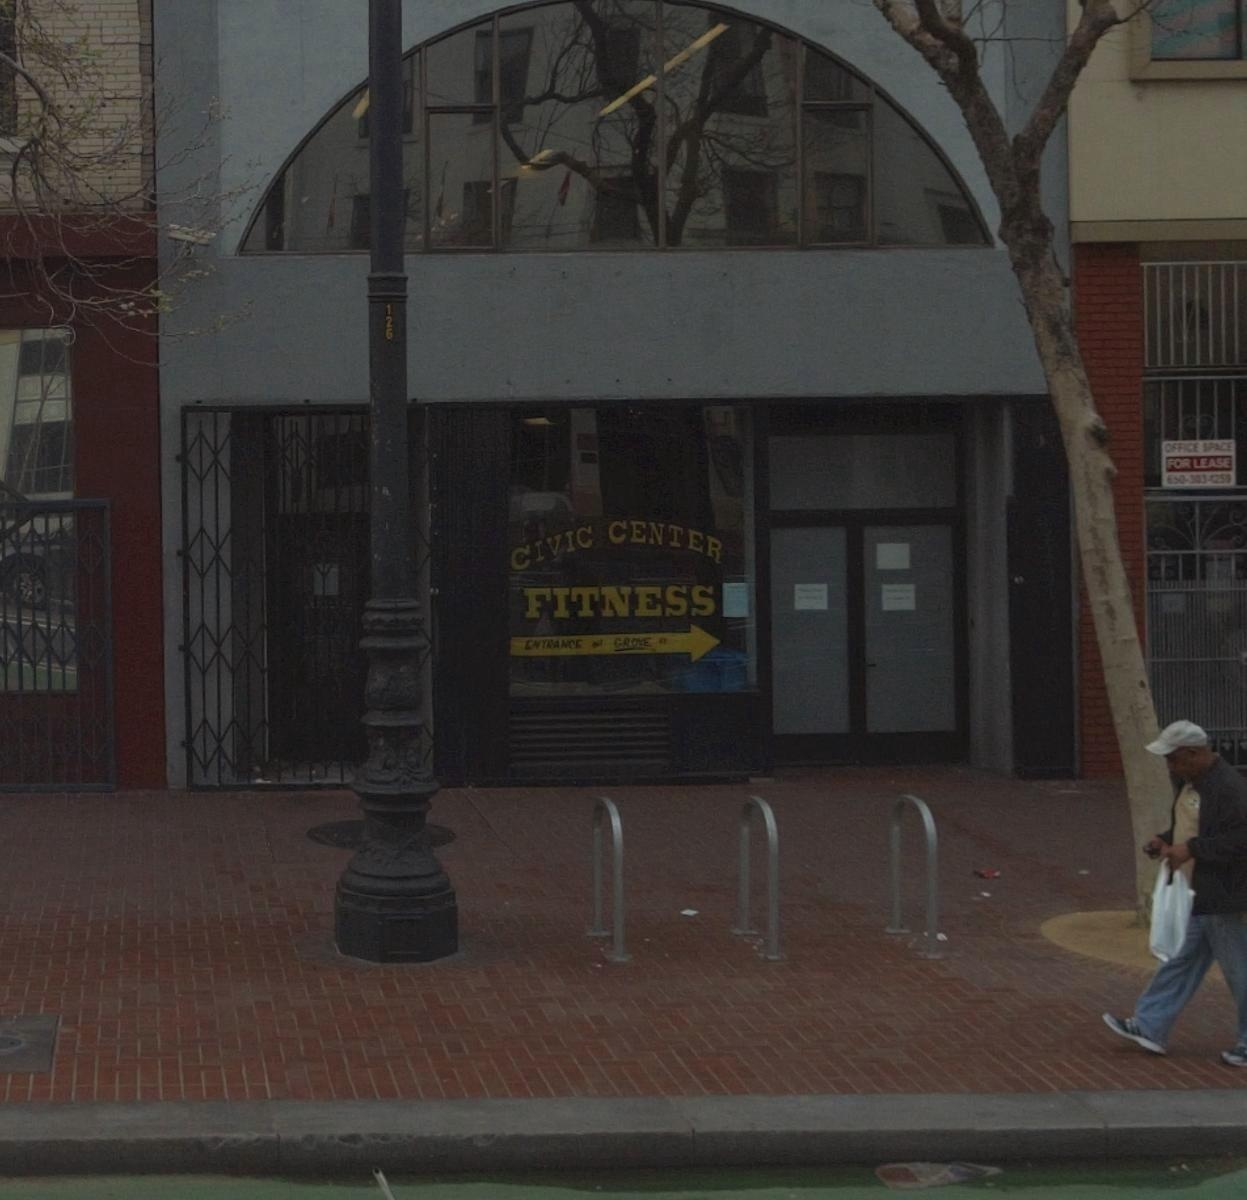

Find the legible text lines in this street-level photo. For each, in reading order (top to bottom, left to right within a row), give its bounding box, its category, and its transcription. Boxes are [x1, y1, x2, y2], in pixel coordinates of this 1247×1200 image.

[1162, 438, 1237, 457] None: OFFICE SPACE
[1164, 455, 1233, 472] None: FOR LEASE
[1164, 471, 1234, 487] None: 650-303-4250
[507, 516, 725, 574] BusinessName: CIVIC CENTER
[520, 581, 720, 623] BusinessName: FITNESS
[521, 634, 655, 653] None: ENTRANCE ** GROVE